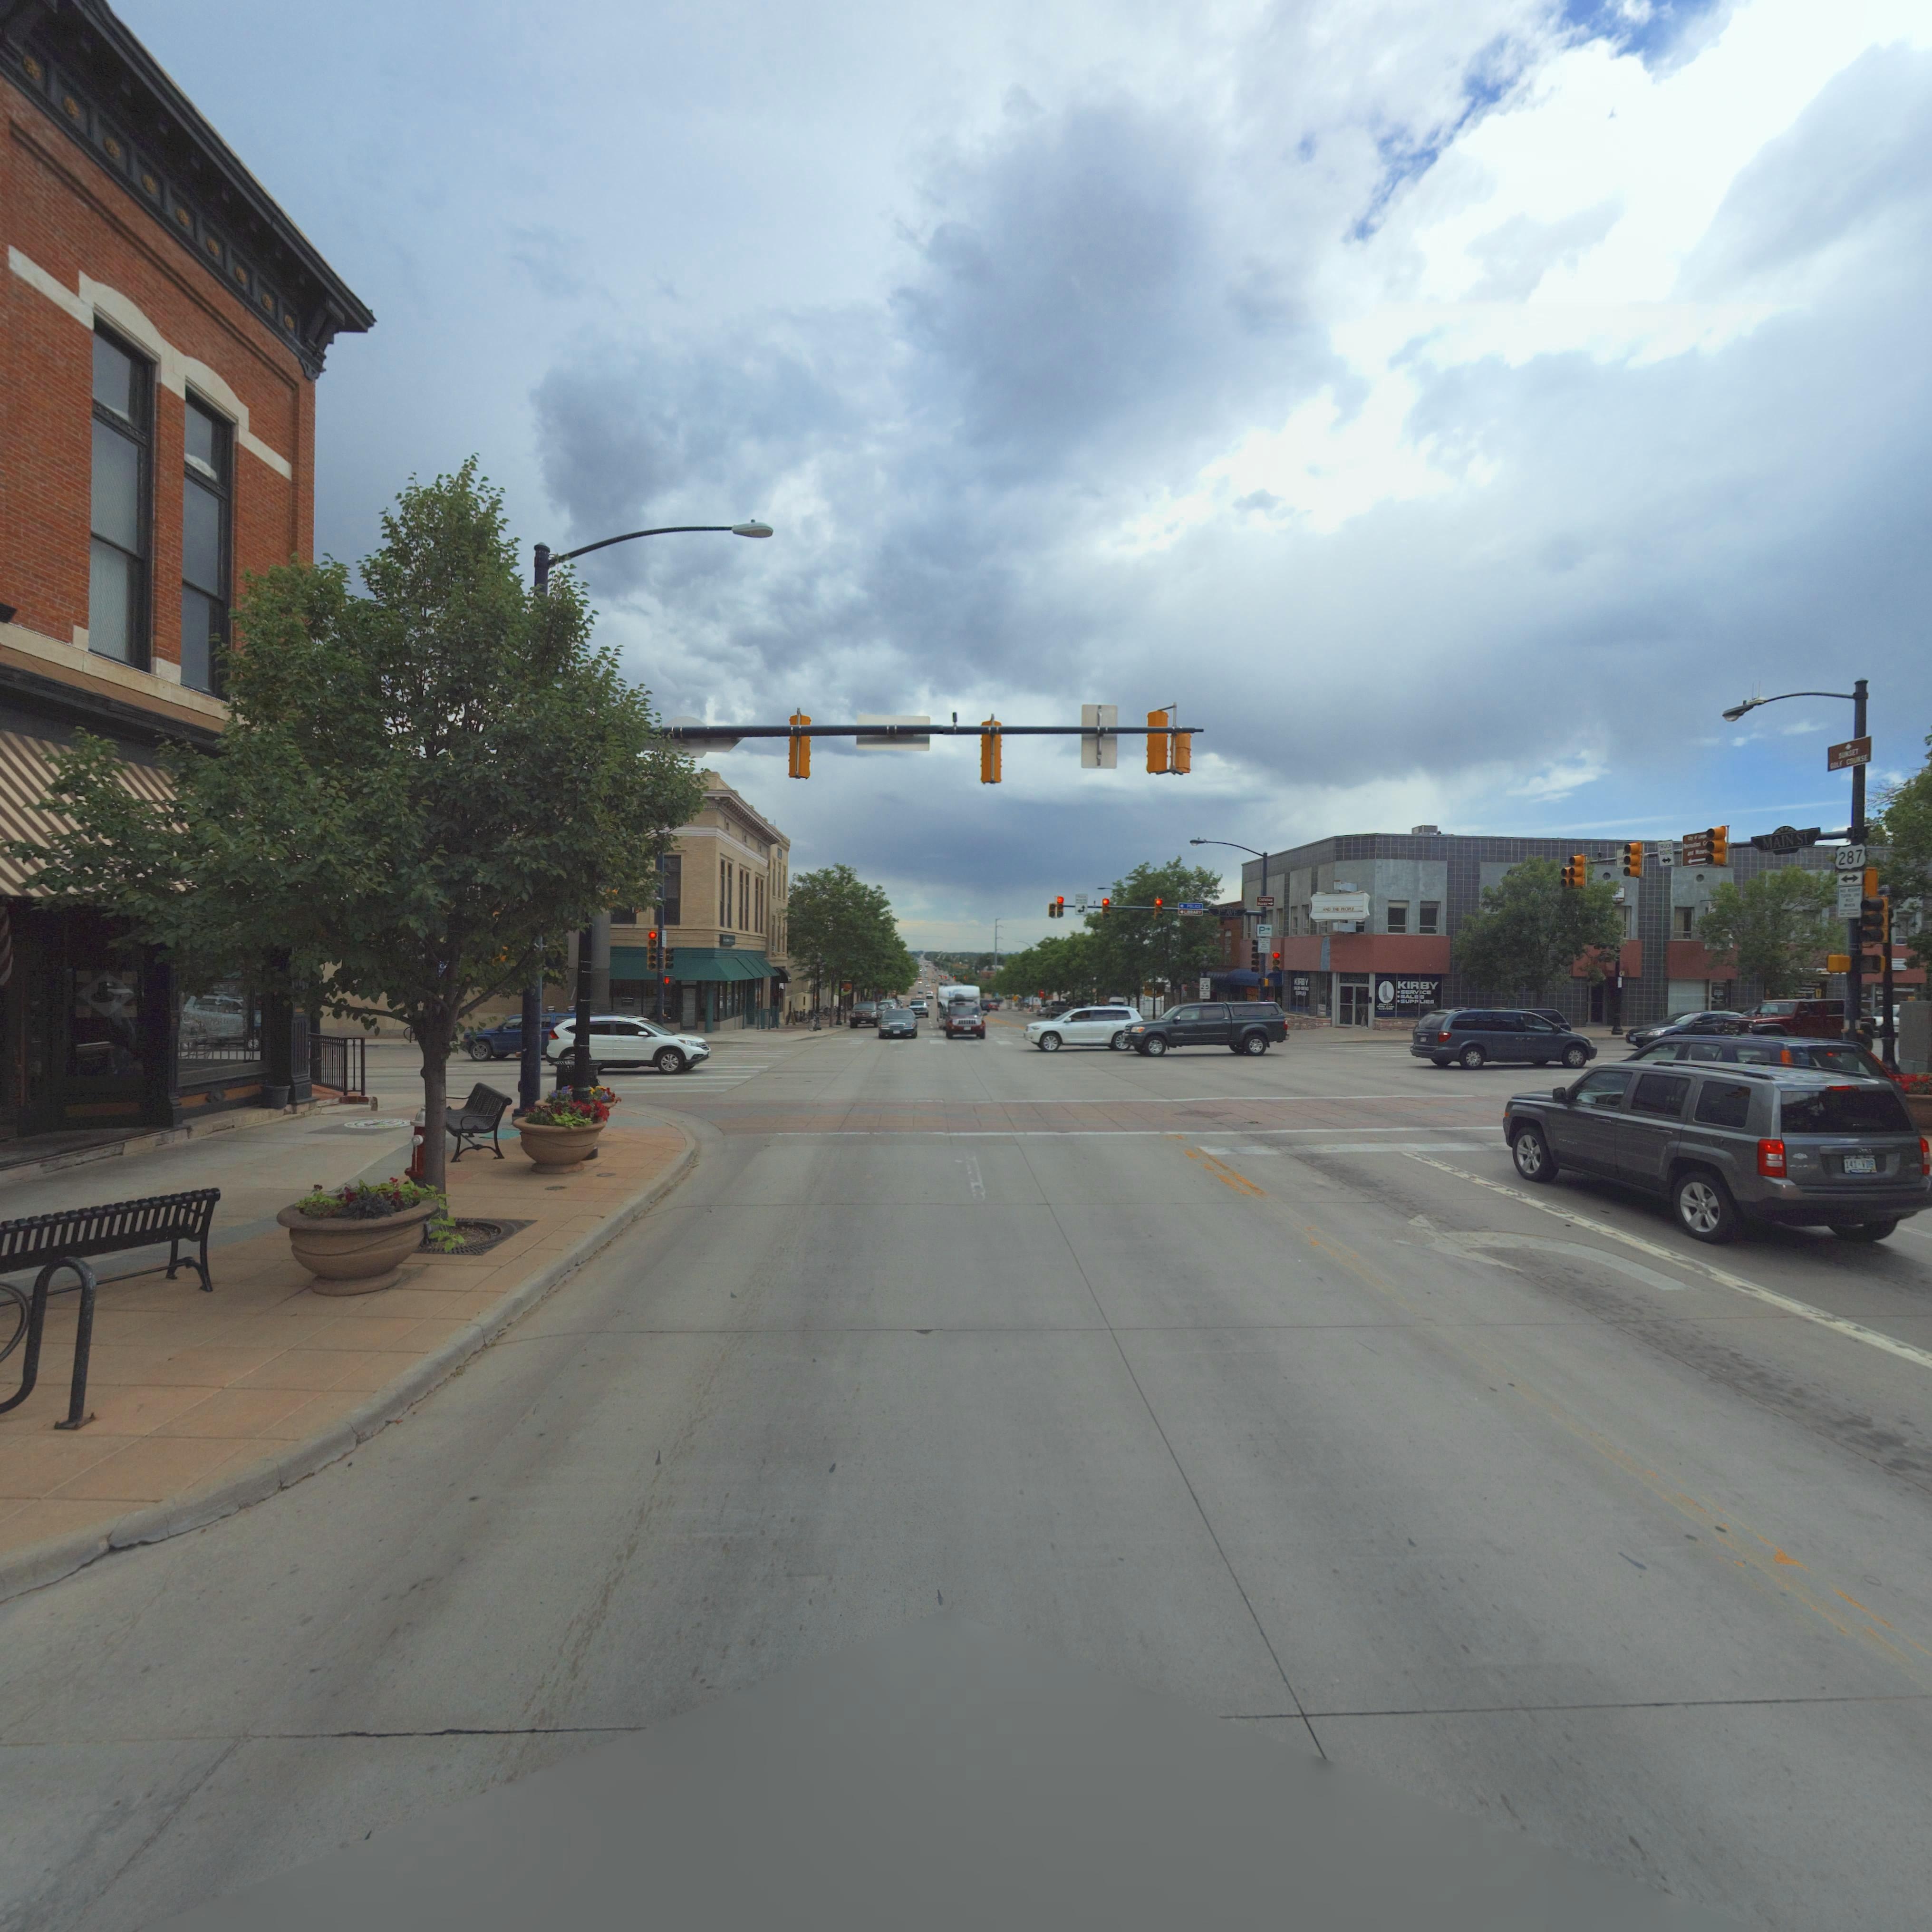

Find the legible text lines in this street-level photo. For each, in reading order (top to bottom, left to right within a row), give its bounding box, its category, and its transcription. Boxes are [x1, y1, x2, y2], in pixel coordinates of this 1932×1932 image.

[1763, 831, 1809, 850] StreetName: MAIN ST
[1217, 908, 1237, 916] StreetName: 3RD AVE
[1294, 977, 1309, 985] BusinessName: K**BY
[1343, 977, 1365, 983] BusinessName: KI*BY
[1397, 980, 1439, 990] BusinessName: KIRBY